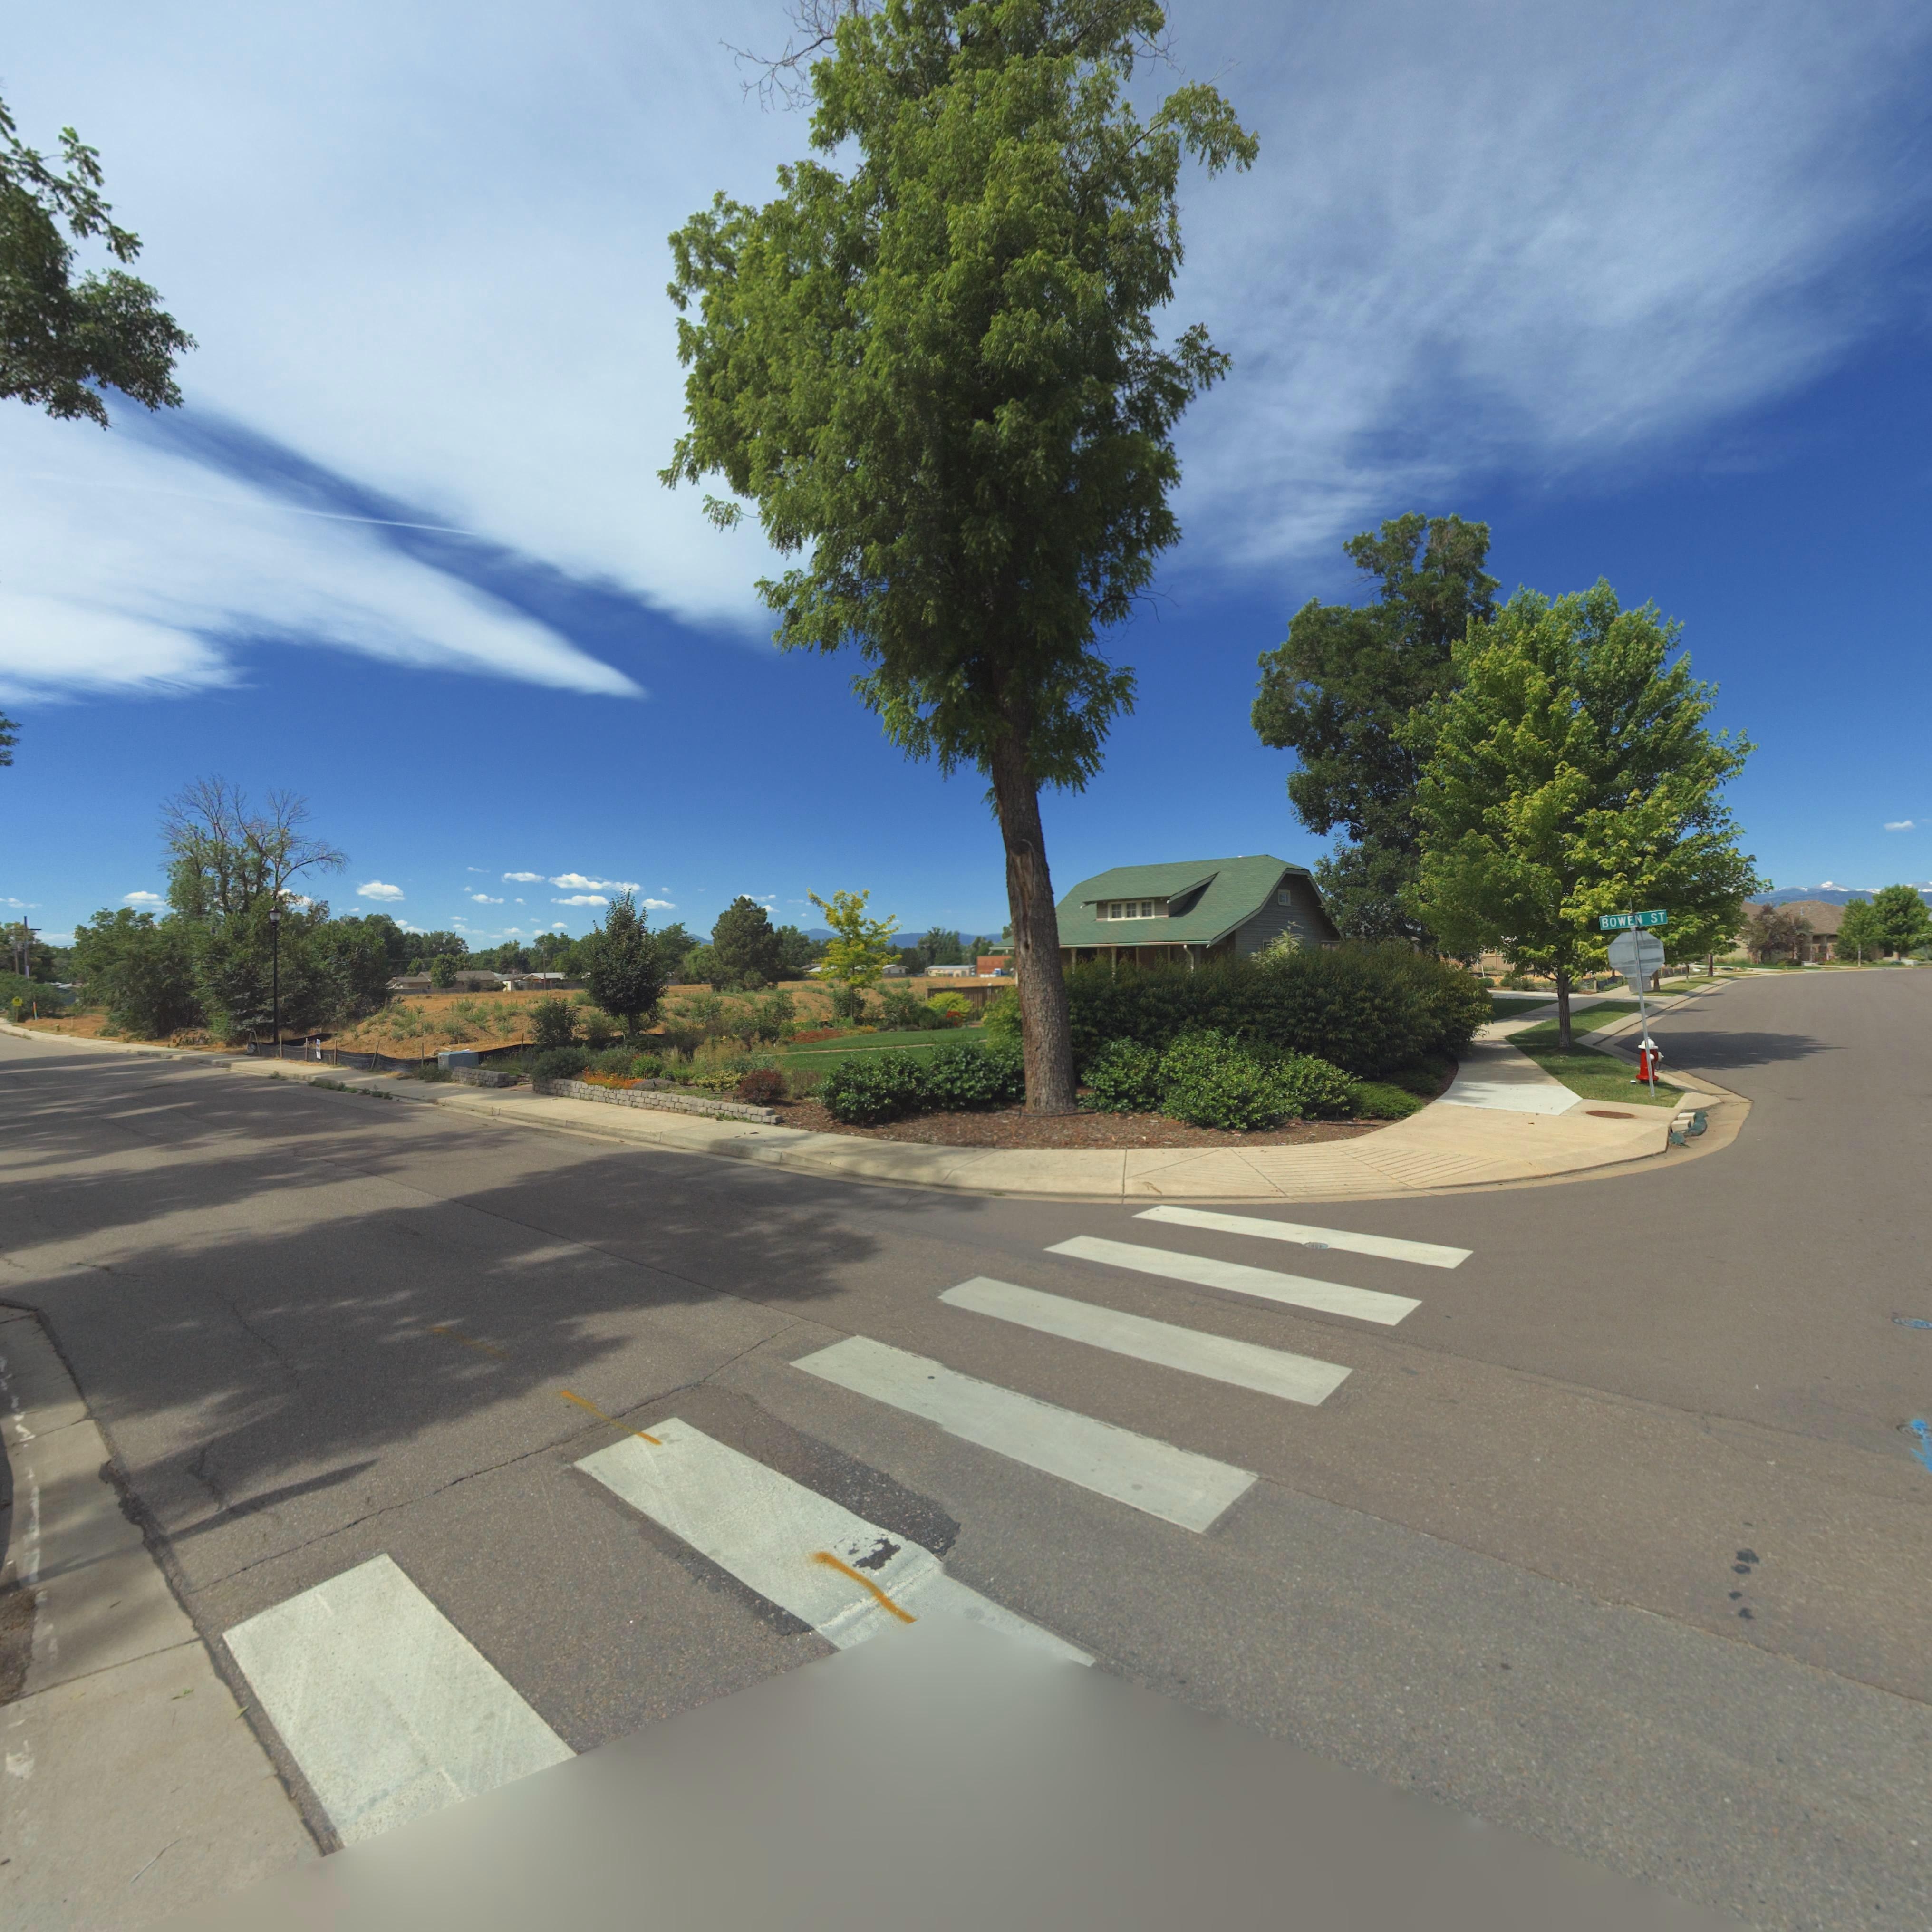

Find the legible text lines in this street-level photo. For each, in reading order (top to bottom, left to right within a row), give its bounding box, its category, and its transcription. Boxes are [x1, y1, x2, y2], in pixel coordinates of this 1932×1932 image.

[1601, 911, 1665, 928] StreetName: BOWEN ST